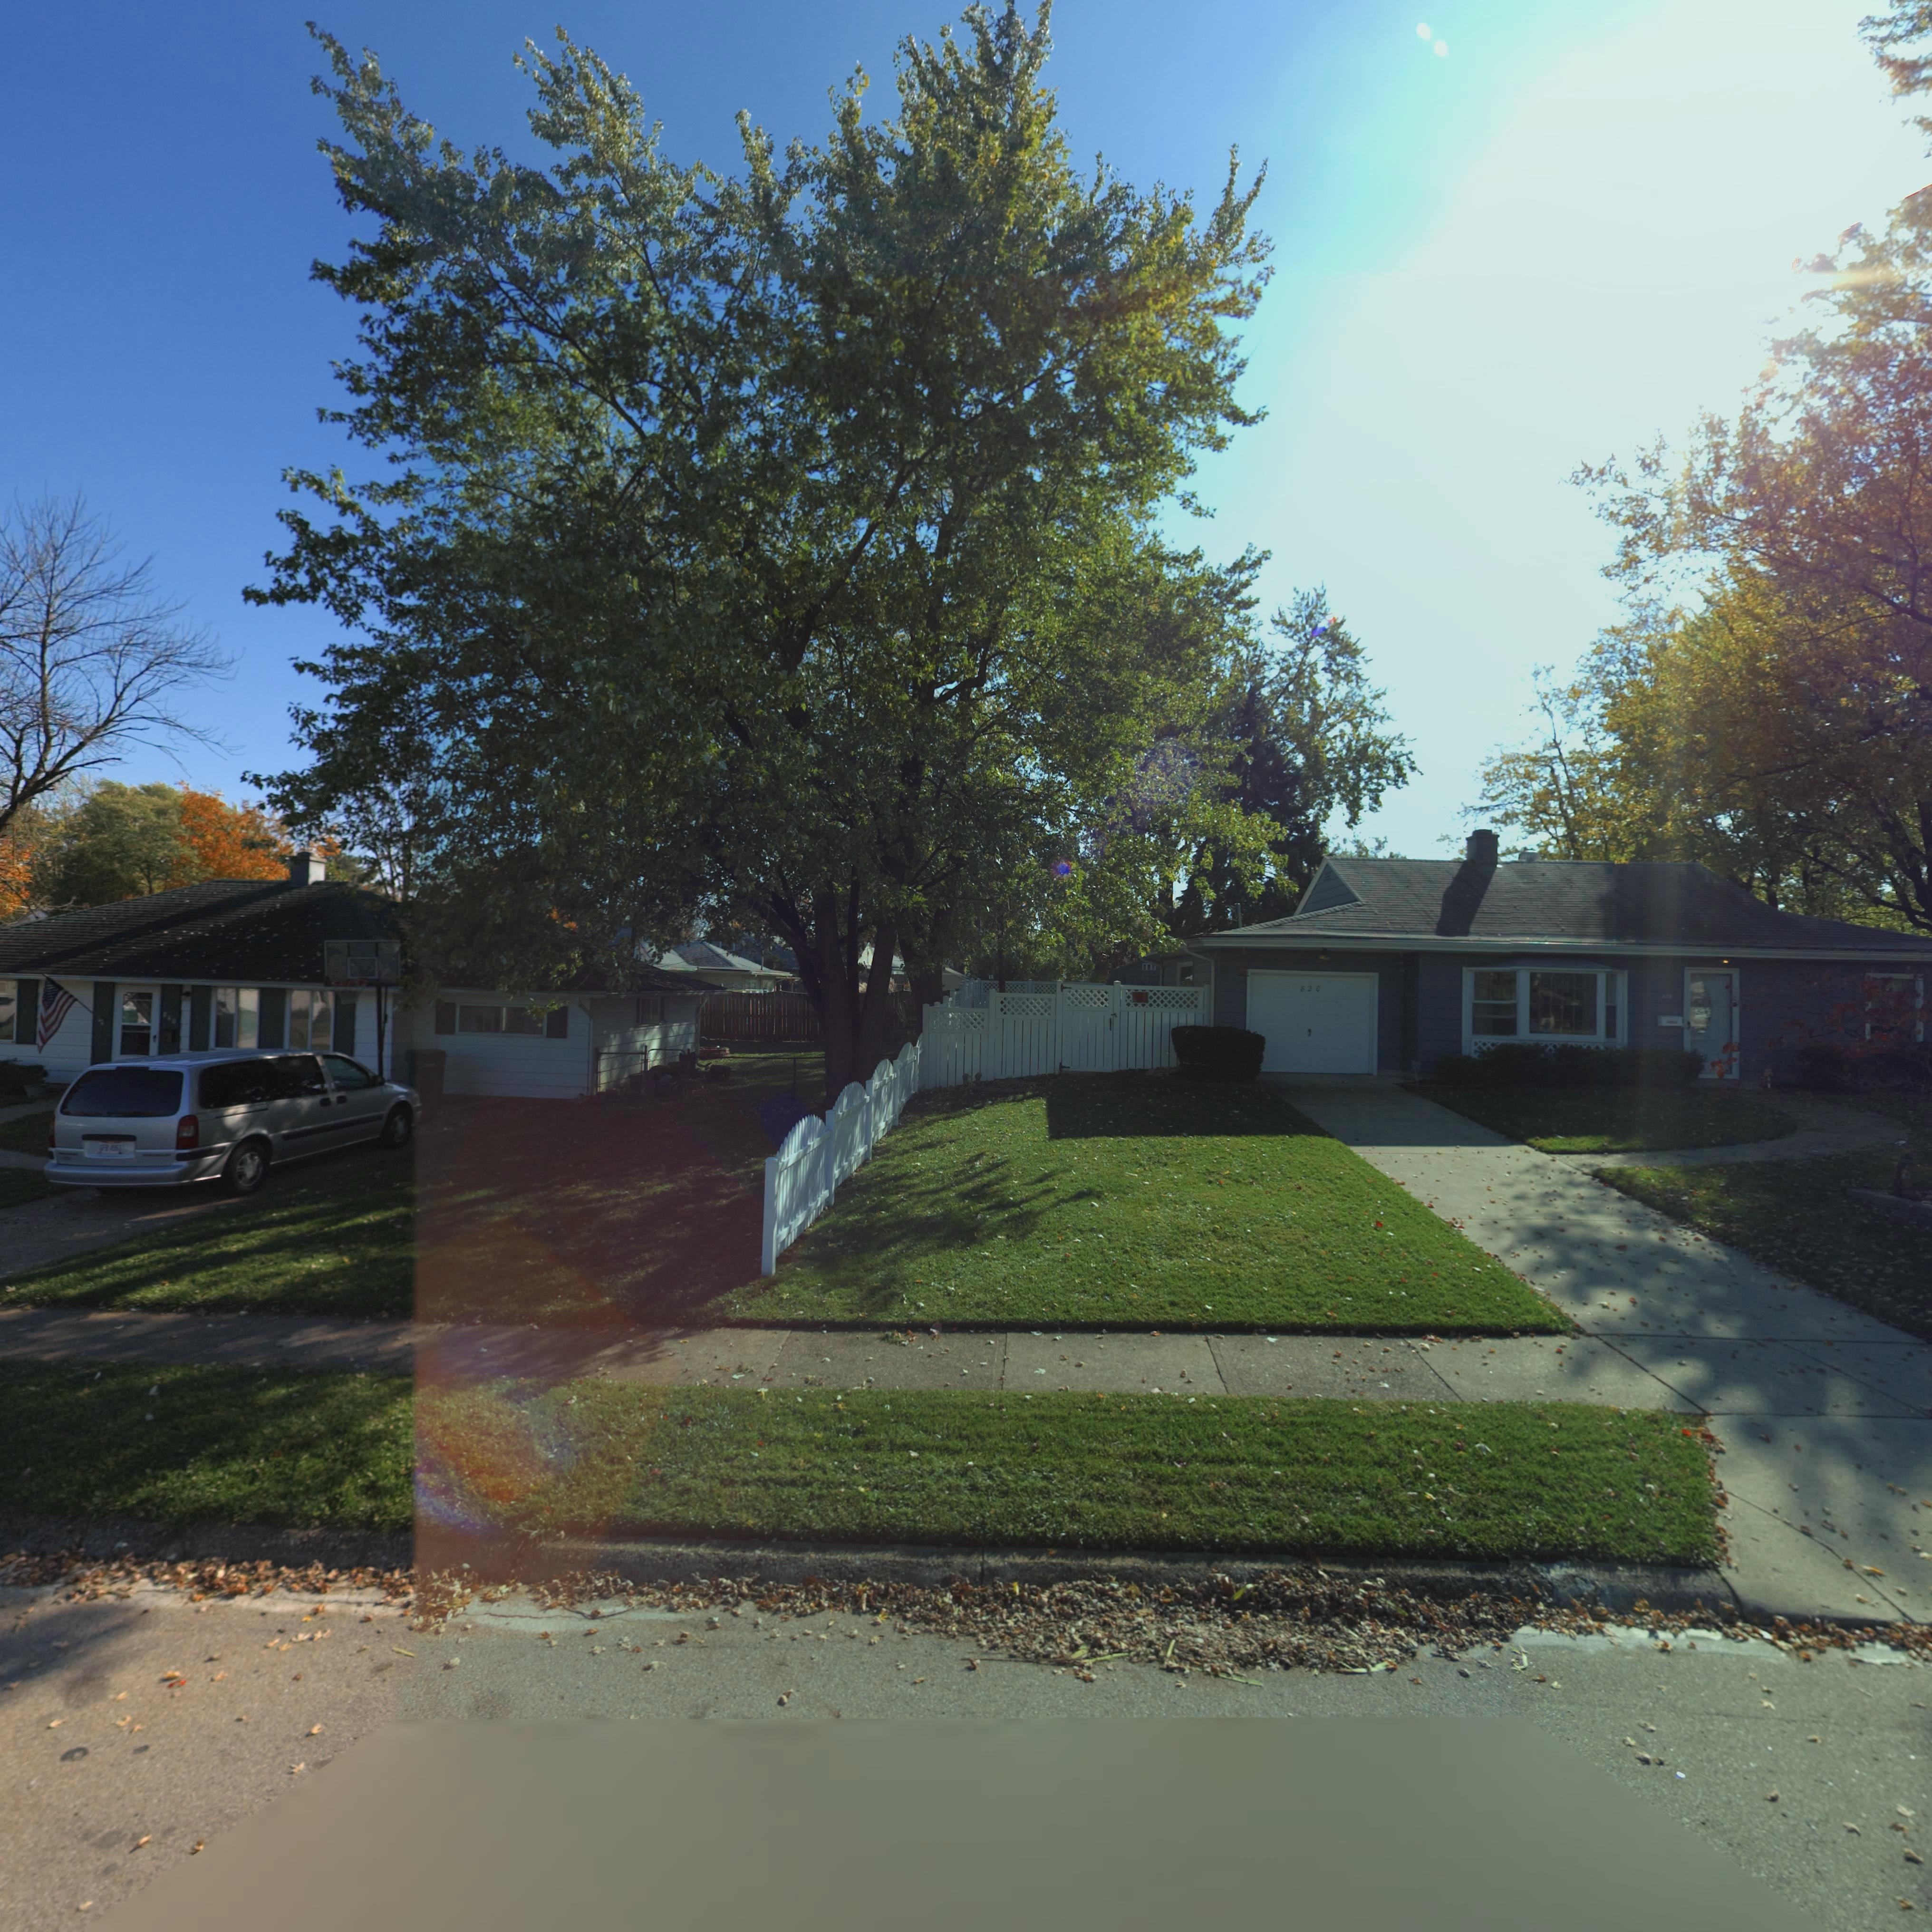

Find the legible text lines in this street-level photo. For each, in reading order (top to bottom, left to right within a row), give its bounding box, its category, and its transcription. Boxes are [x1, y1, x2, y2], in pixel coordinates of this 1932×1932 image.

[1299, 985, 1321, 992] StreetNumber: 820
[1662, 993, 1672, 999] StreetNumber: 820
[162, 1011, 176, 1026] StreetNumber: 840
[98, 1144, 122, 1150] None: GFB 4951